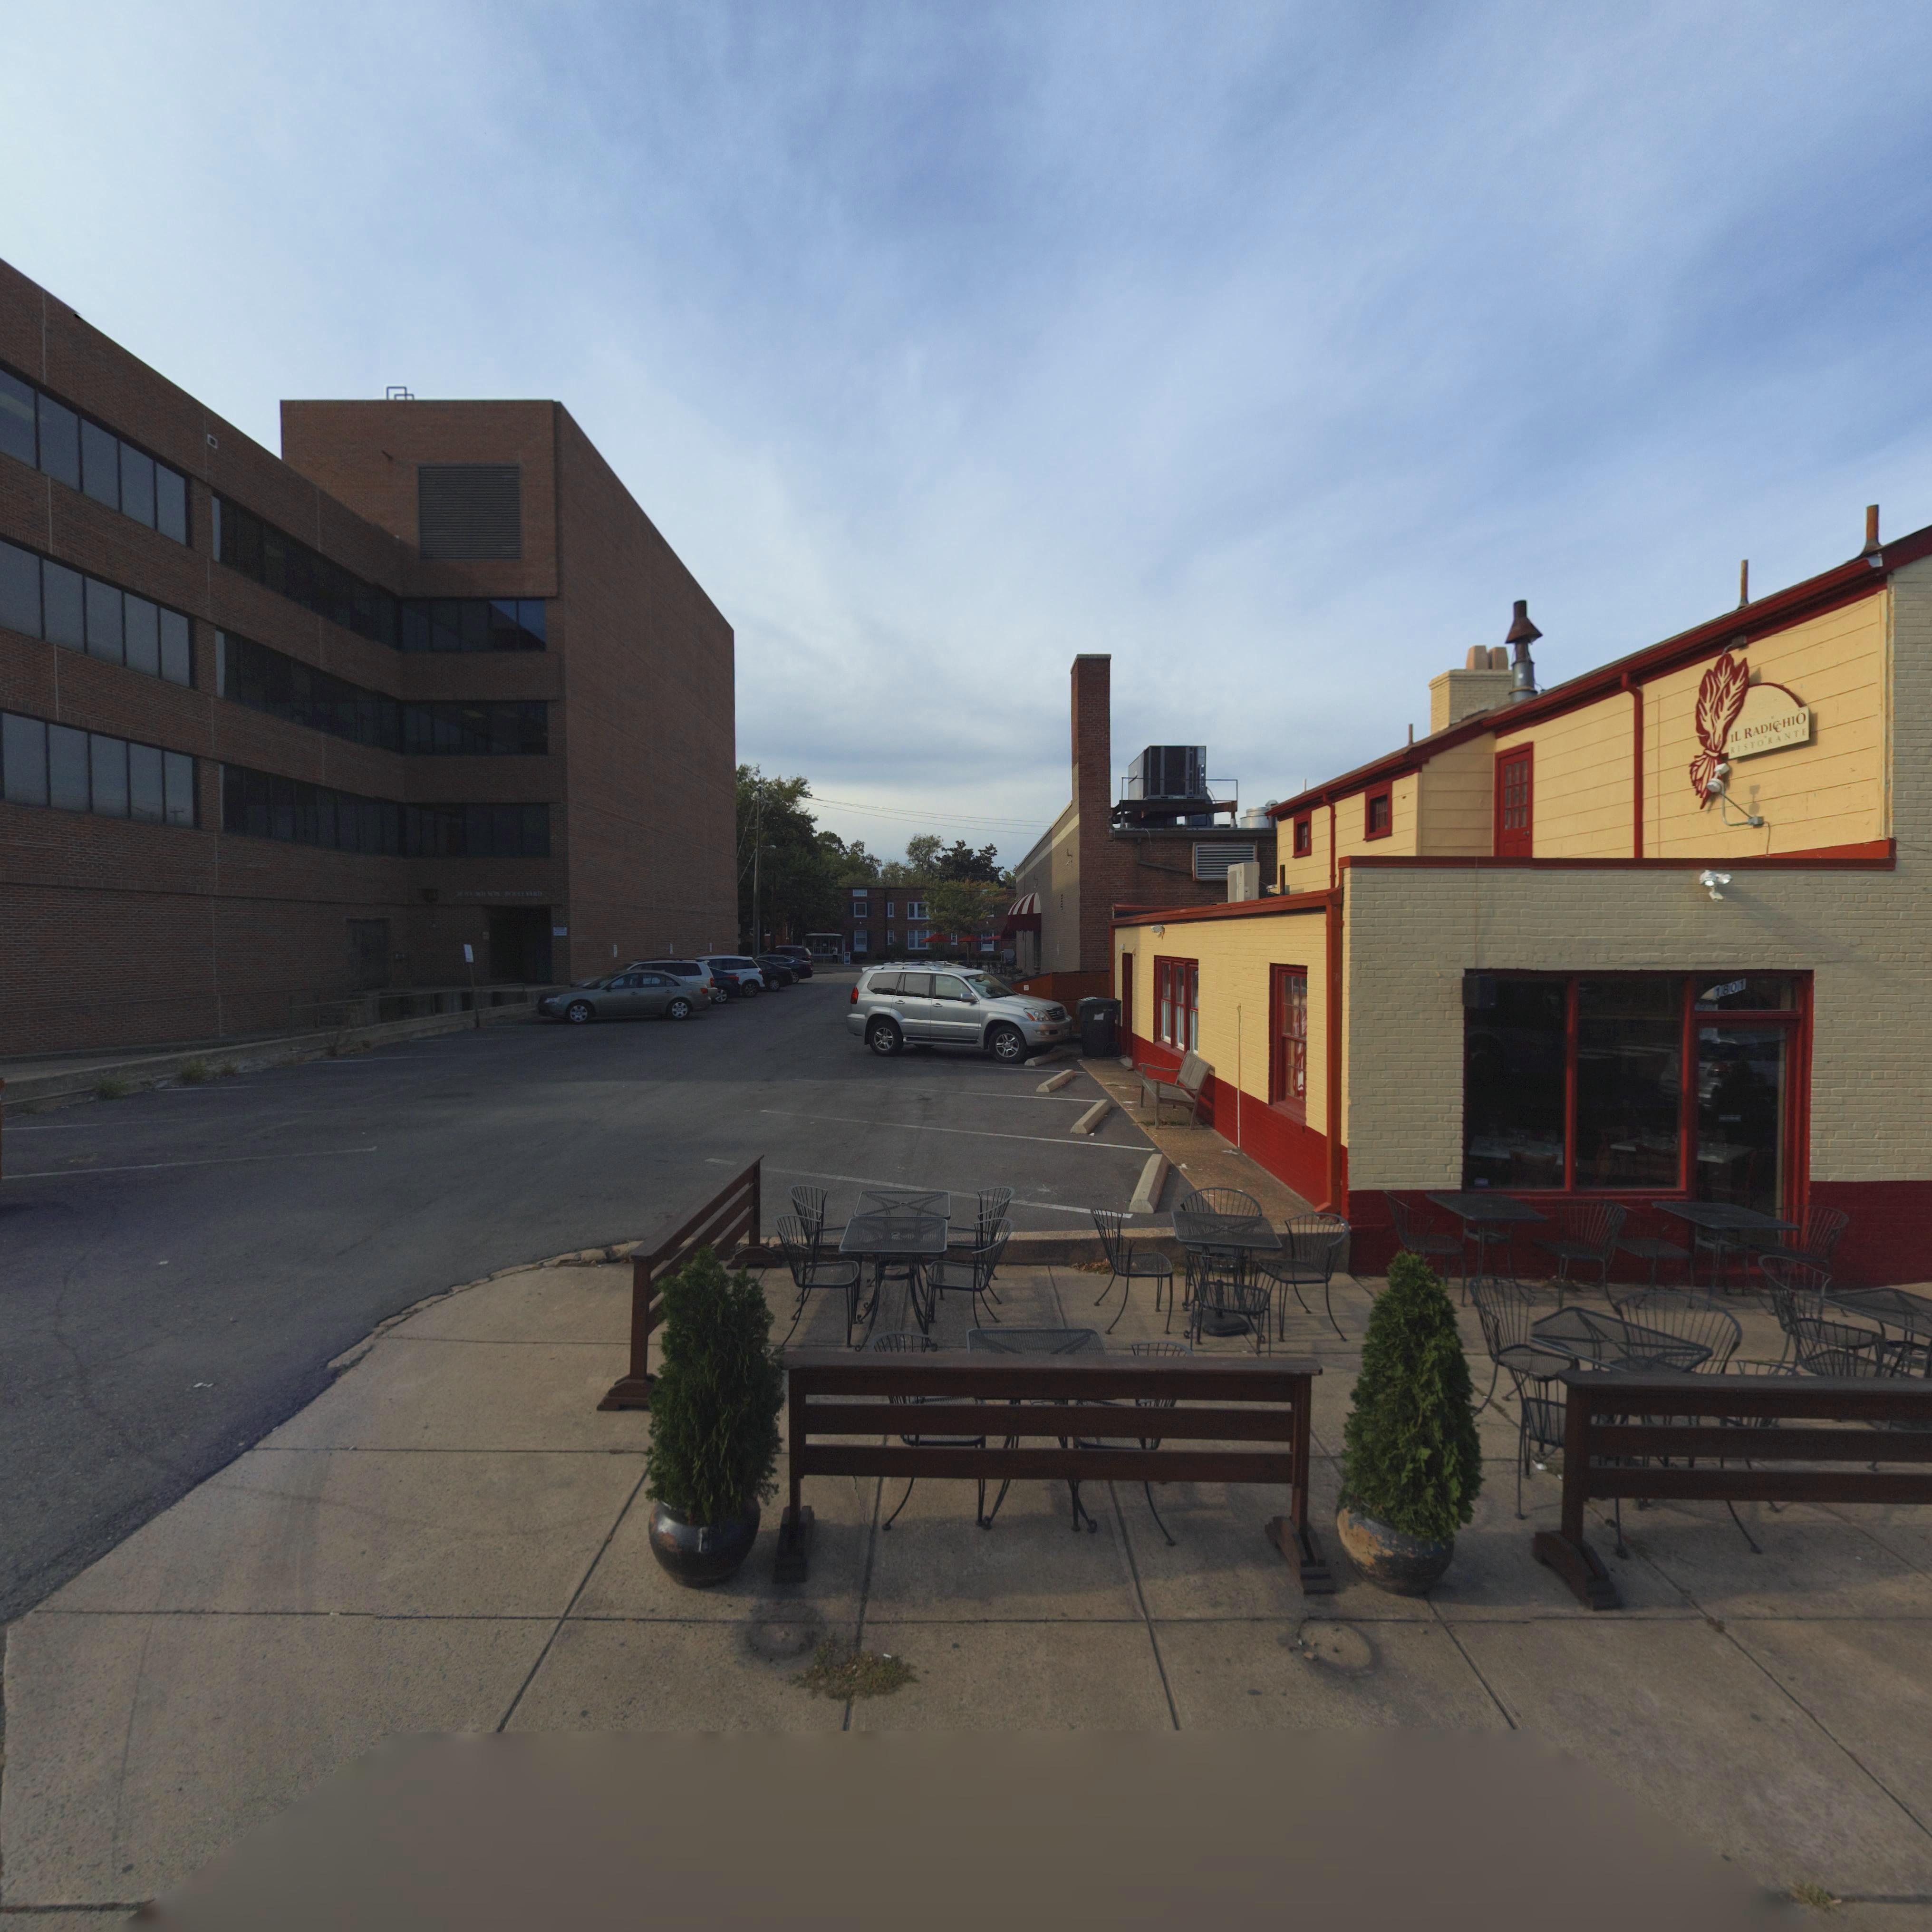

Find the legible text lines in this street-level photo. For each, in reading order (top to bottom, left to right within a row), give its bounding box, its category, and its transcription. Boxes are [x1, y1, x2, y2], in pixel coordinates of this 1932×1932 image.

[1729, 710, 1808, 746] BusinessName: IL RADI**HIO
[1729, 725, 1809, 755] None: RISTORANTE
[1714, 977, 1746, 999] StreetNumber: 1801